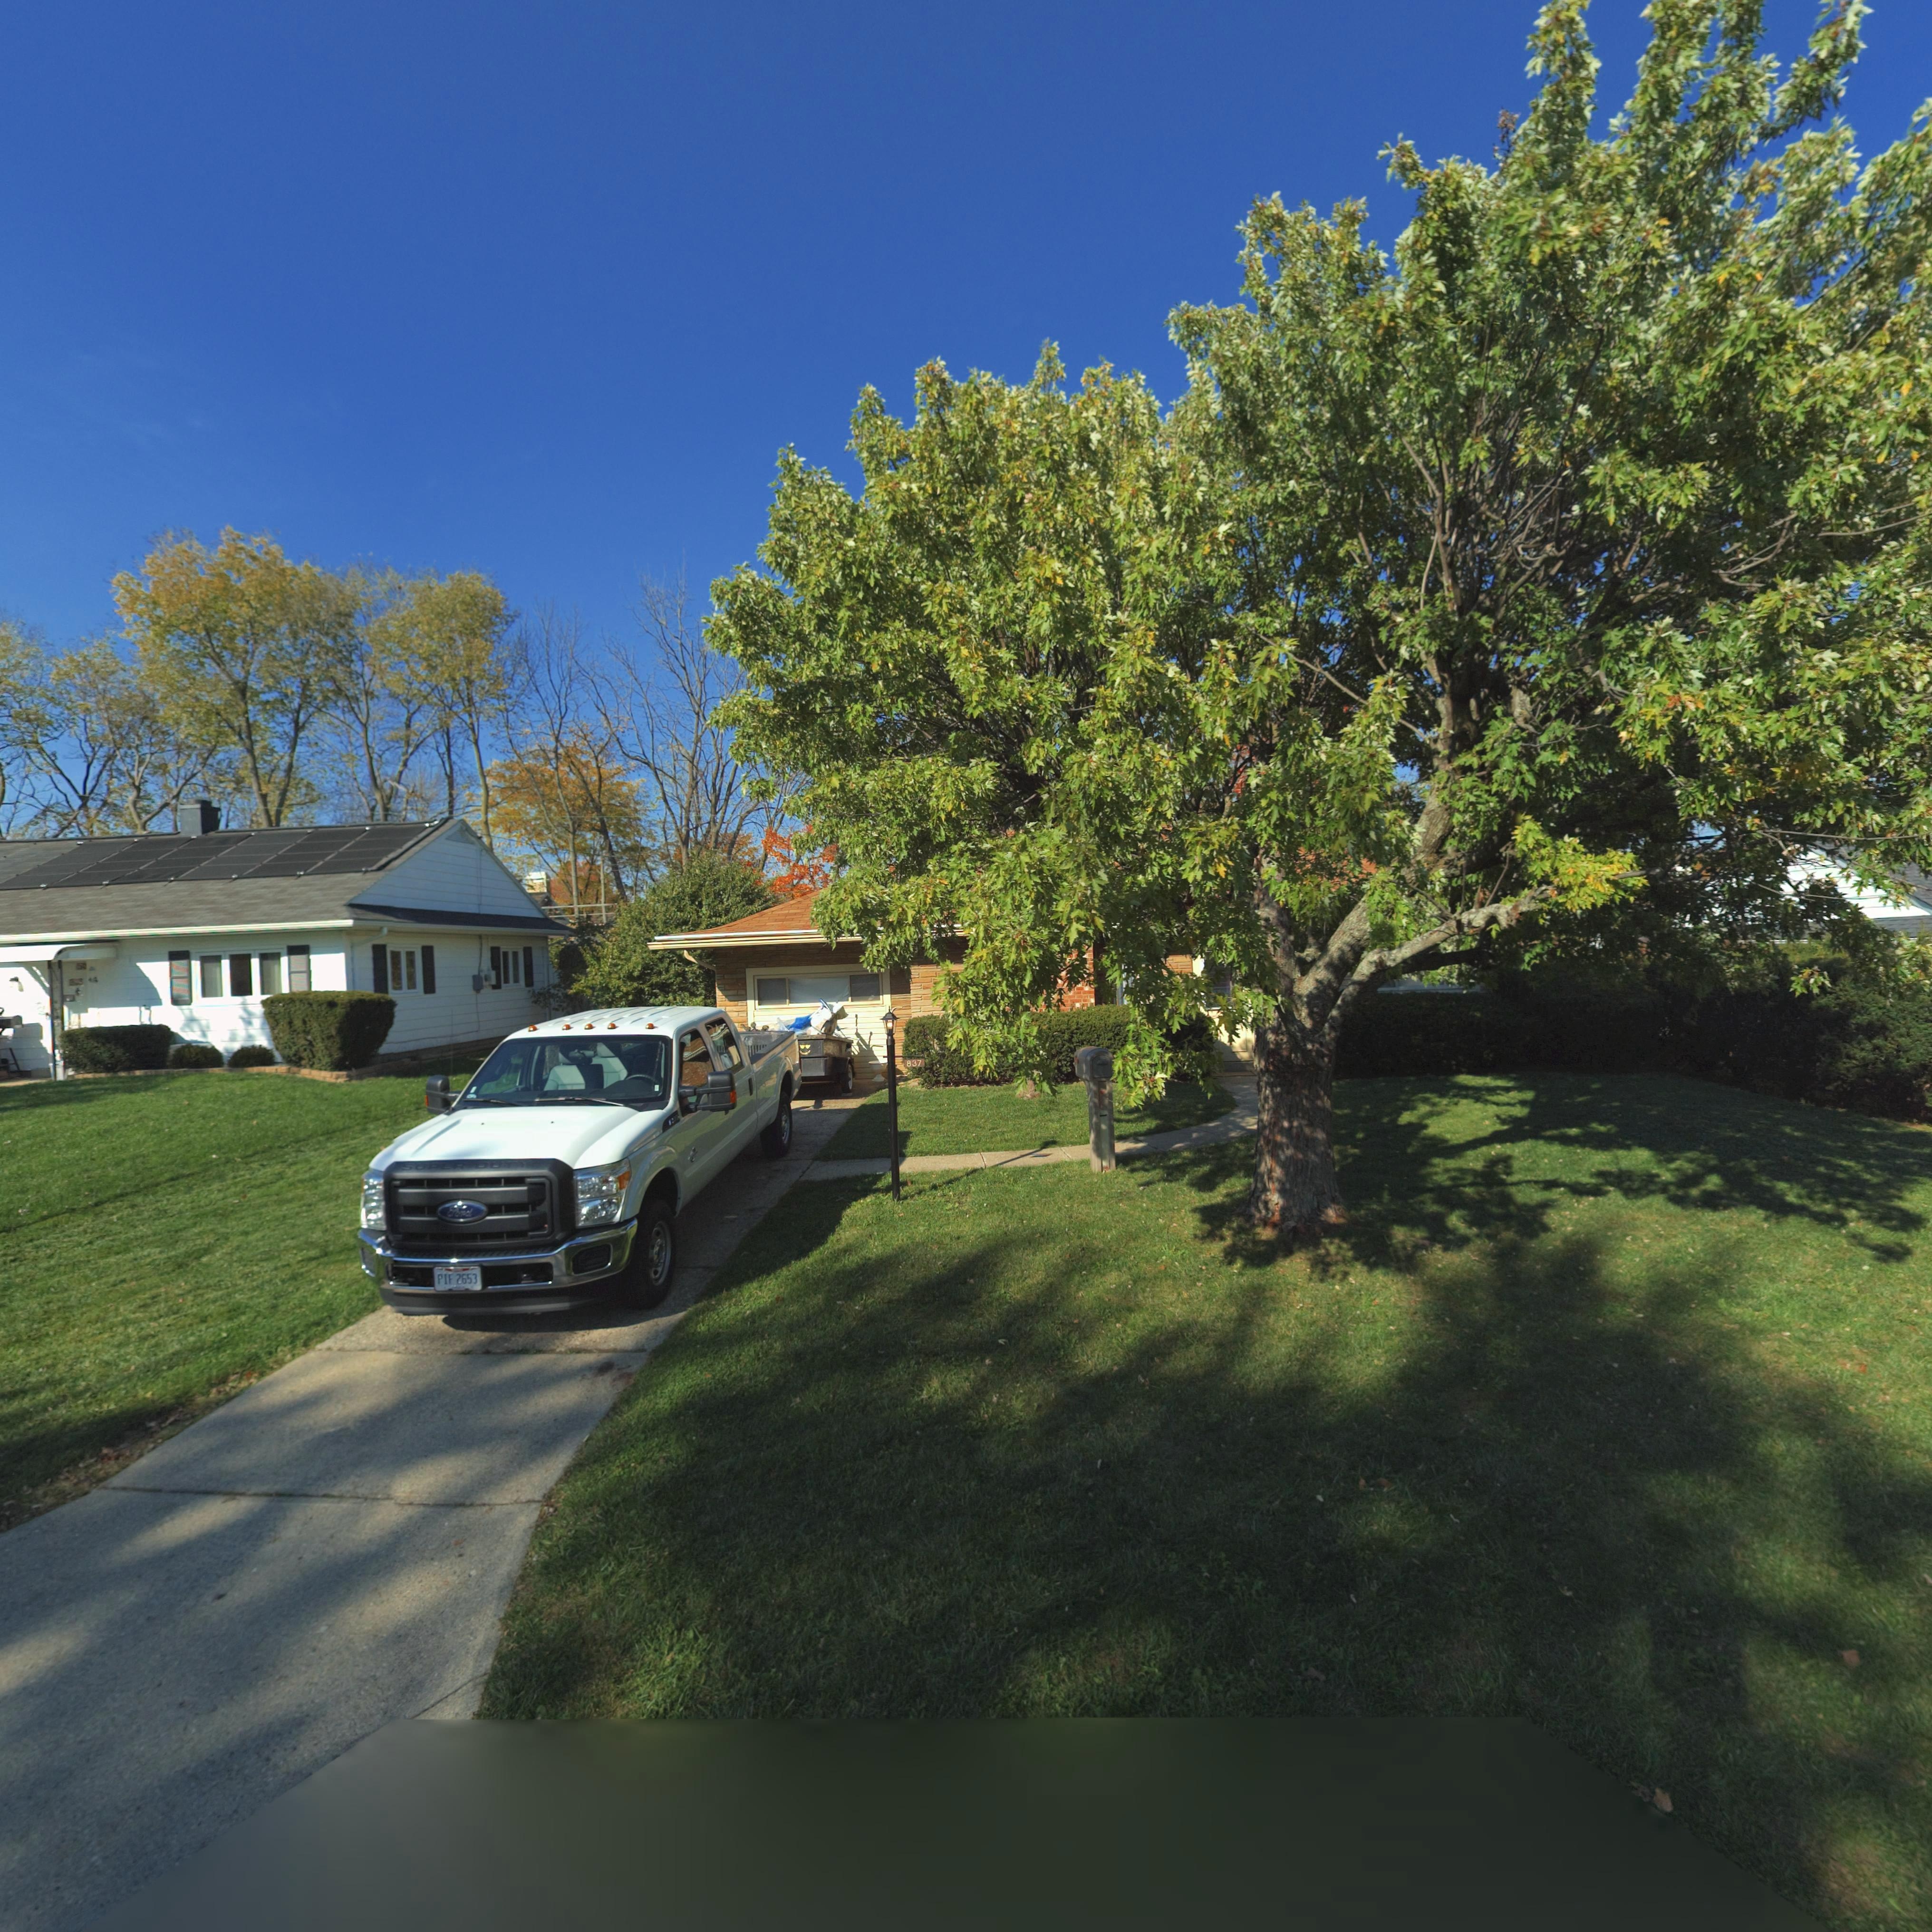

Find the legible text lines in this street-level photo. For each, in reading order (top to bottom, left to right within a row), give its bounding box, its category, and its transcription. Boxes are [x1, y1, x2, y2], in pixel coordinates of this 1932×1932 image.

[906, 1059, 921, 1067] StreetNumber: 837
[437, 1273, 478, 1285] None: PIF 2653